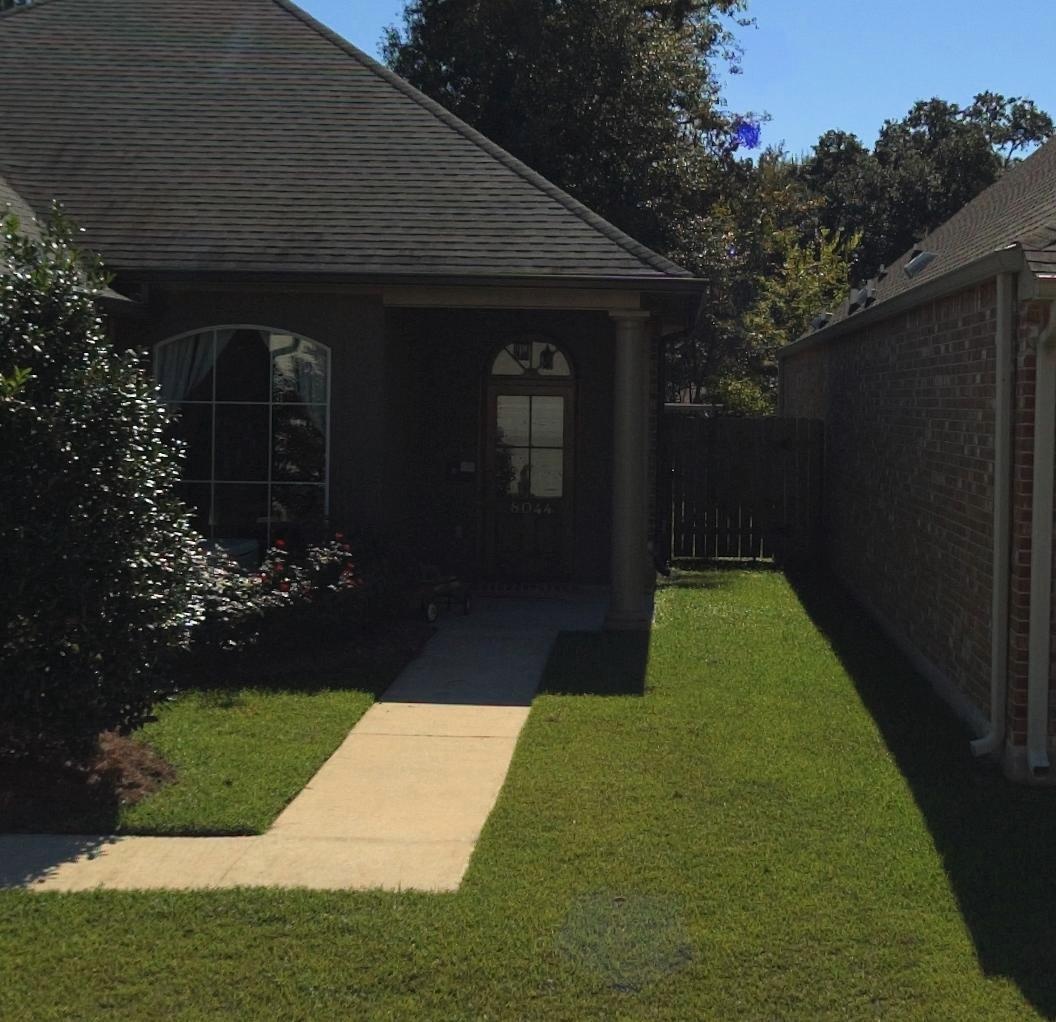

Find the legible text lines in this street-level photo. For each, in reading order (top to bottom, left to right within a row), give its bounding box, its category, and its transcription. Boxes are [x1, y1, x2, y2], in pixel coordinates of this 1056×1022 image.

[508, 499, 555, 517] StreetNumber: 8044